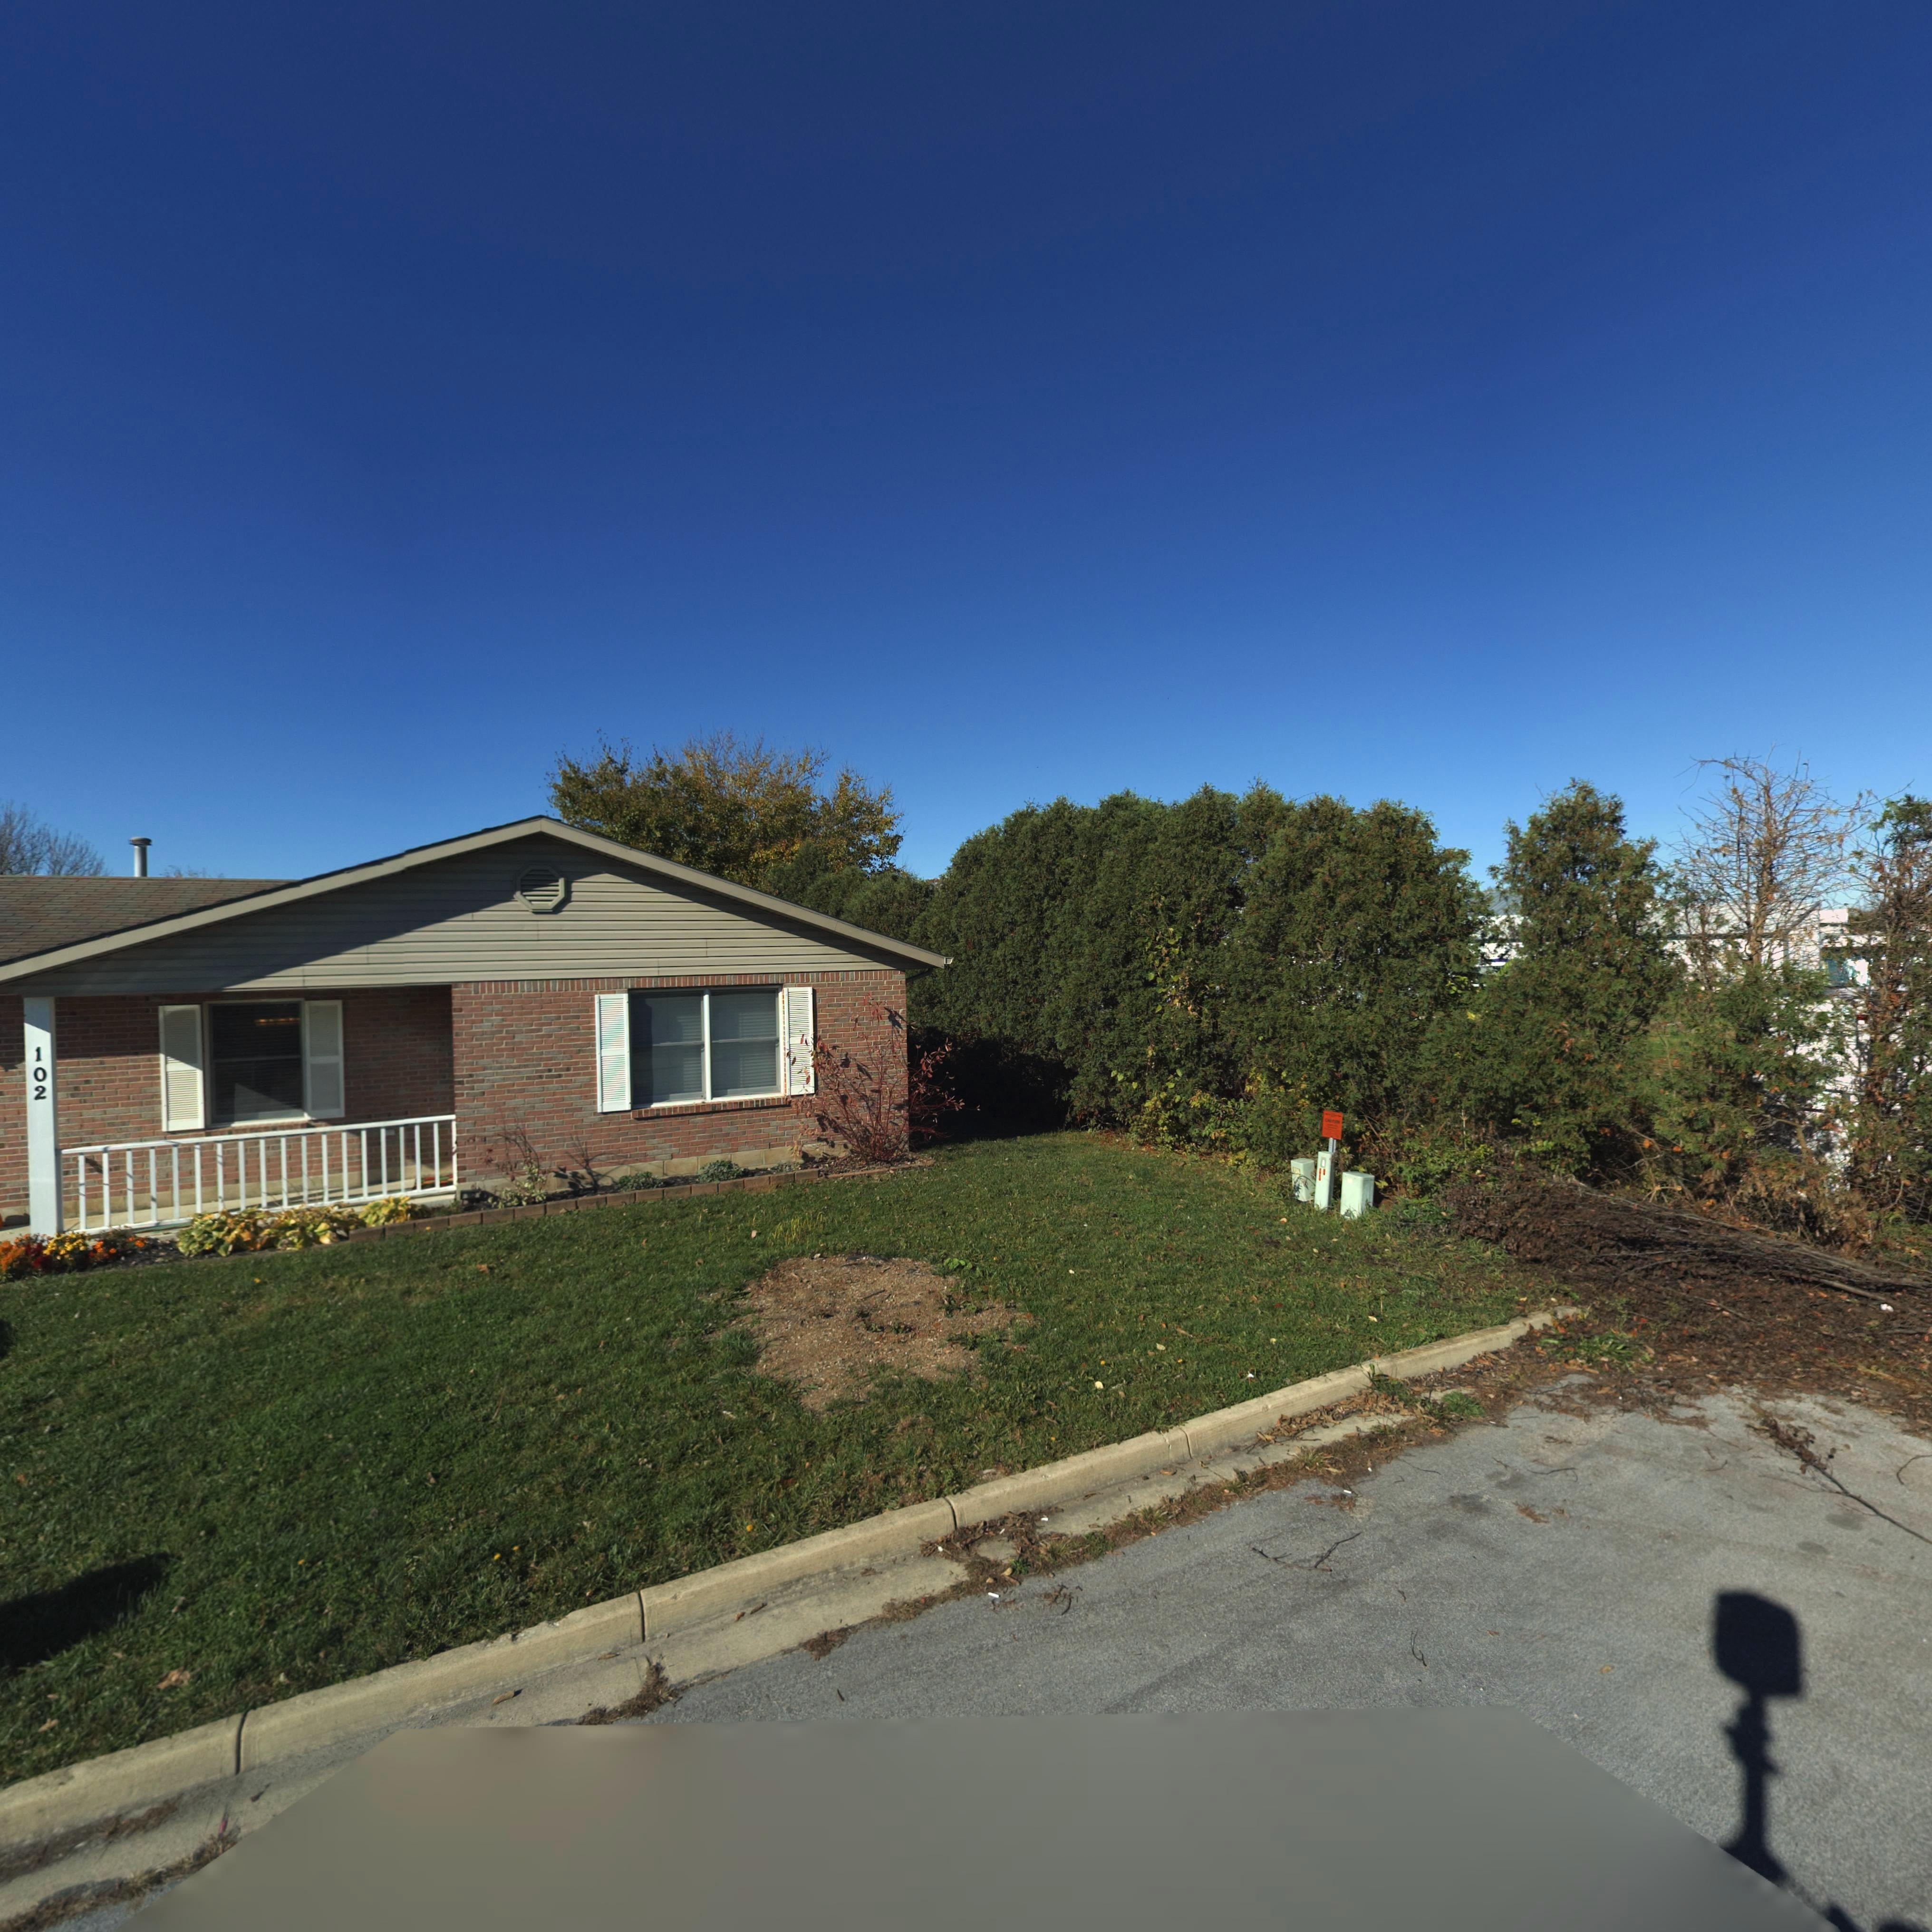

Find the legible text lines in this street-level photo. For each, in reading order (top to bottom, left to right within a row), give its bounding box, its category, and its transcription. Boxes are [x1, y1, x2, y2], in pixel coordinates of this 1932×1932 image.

[32, 1044, 48, 1101] StreetNumber: 102